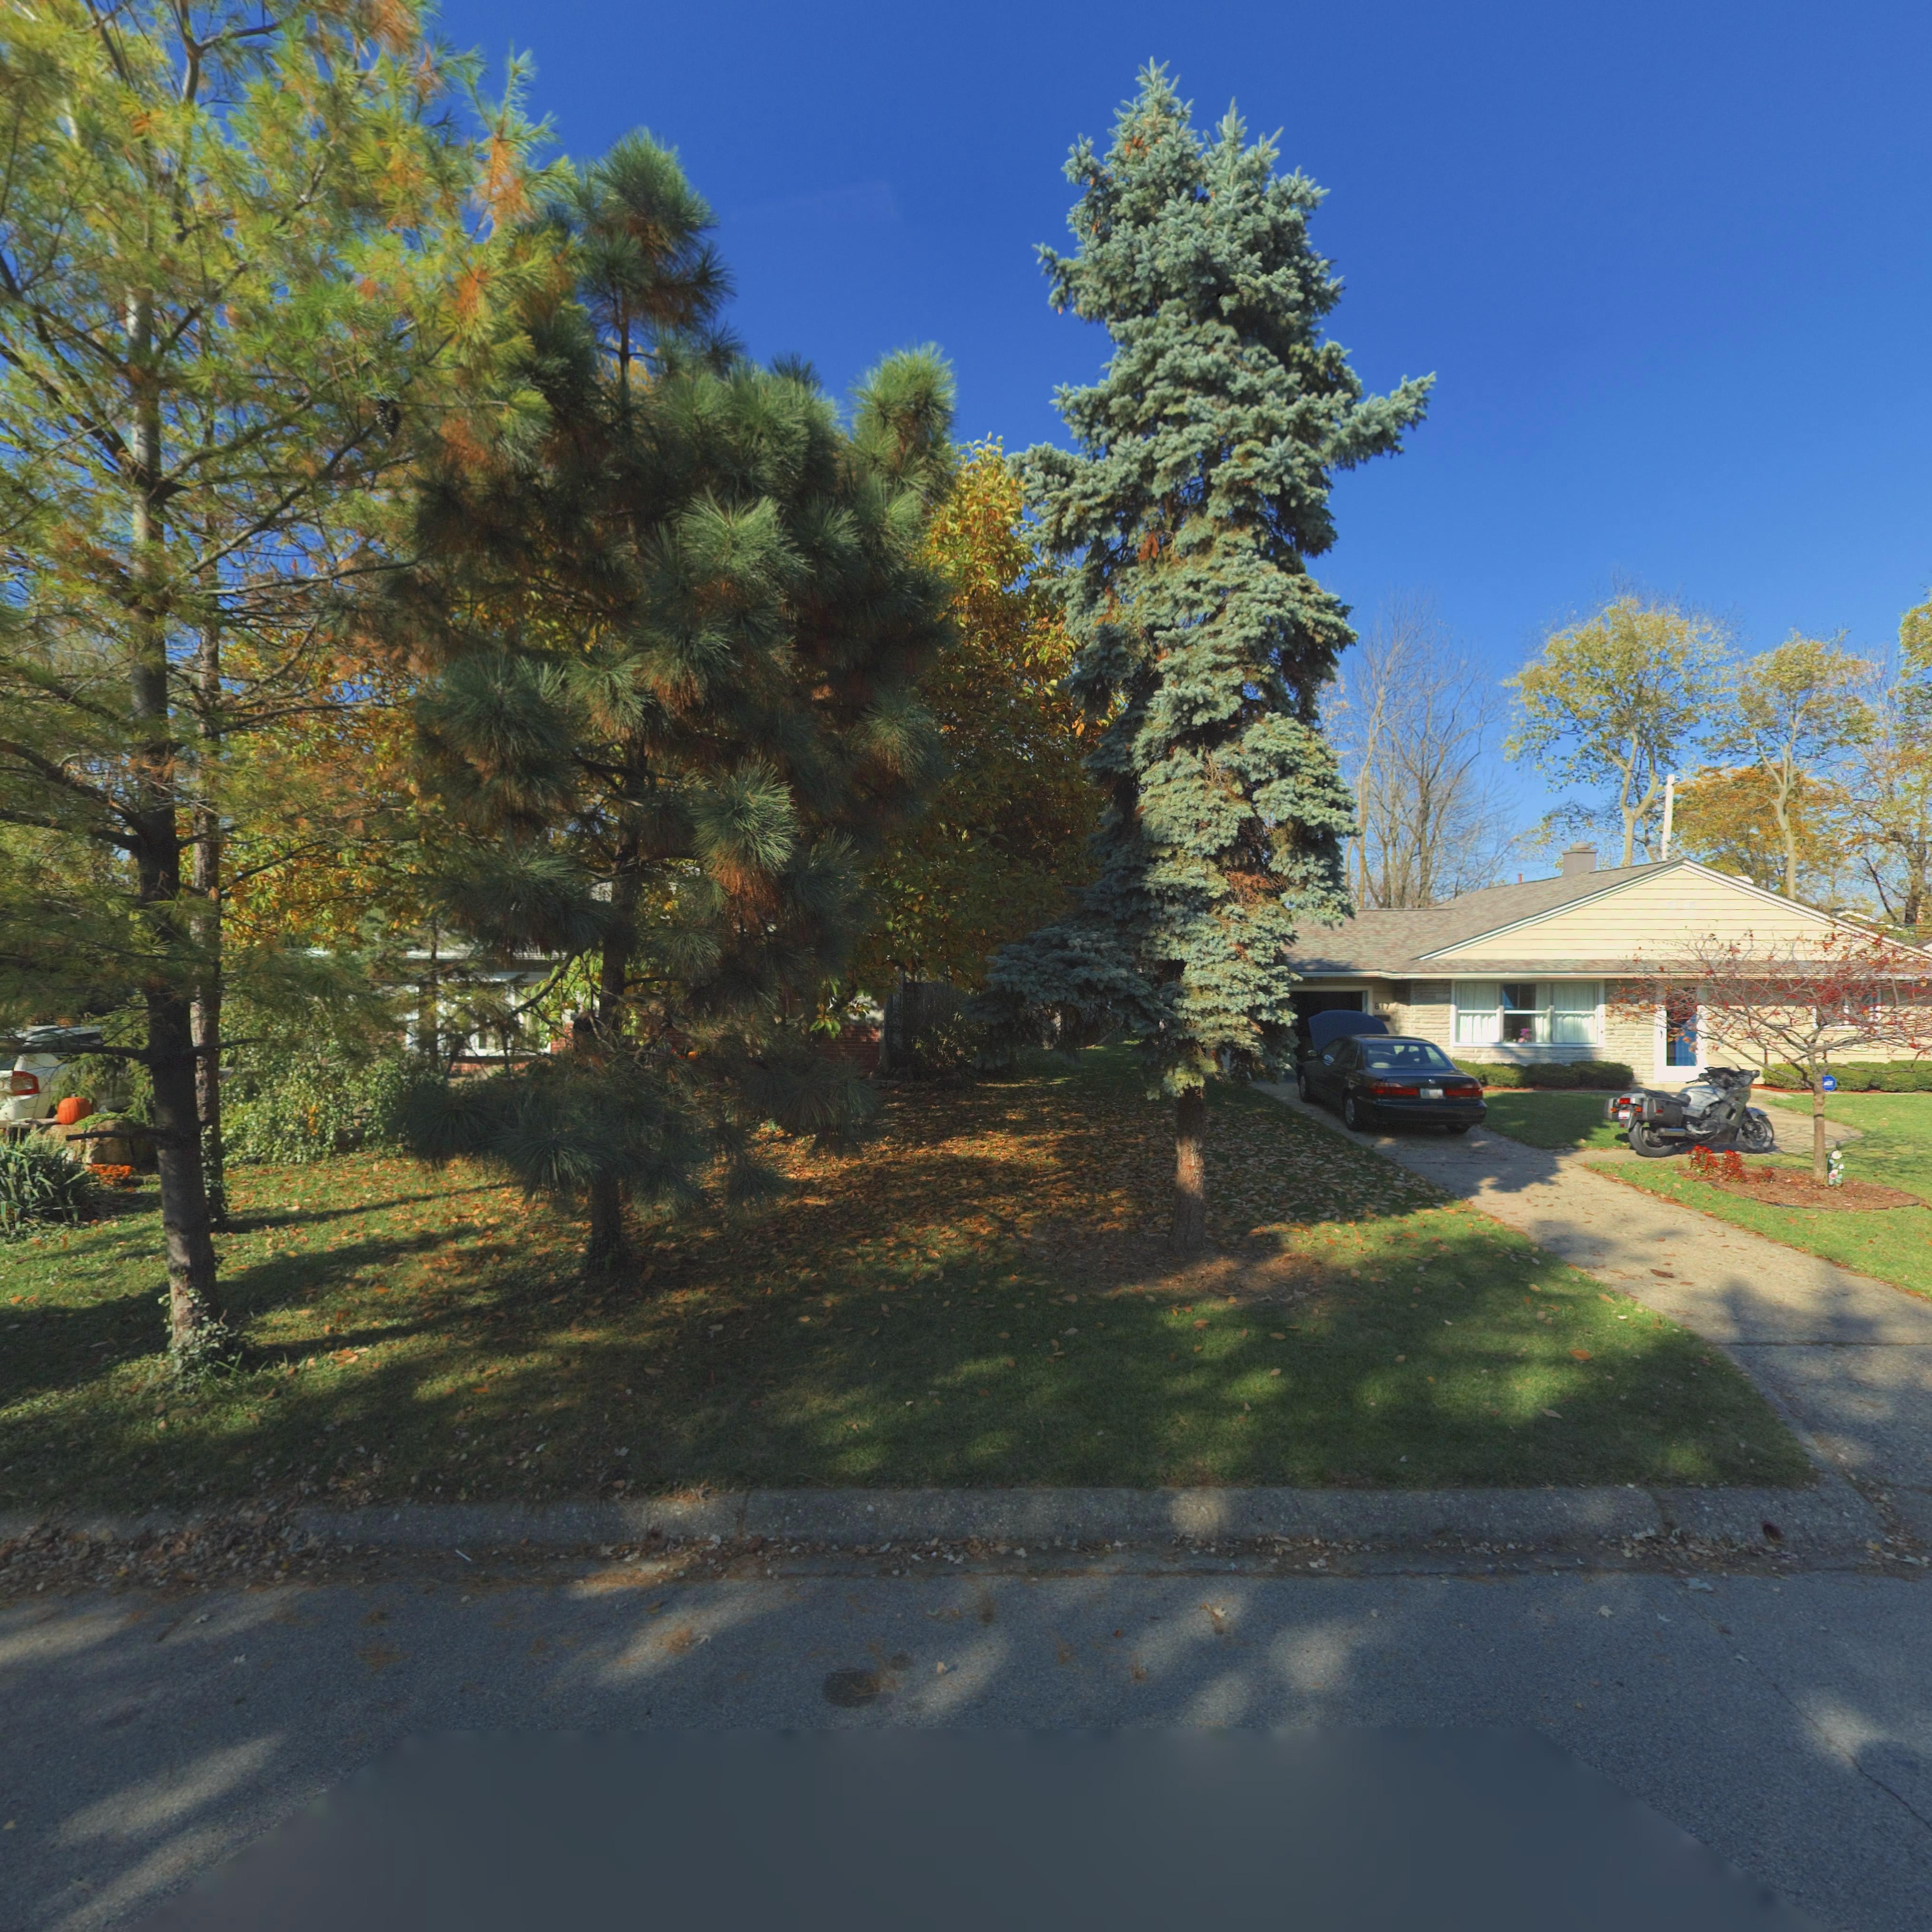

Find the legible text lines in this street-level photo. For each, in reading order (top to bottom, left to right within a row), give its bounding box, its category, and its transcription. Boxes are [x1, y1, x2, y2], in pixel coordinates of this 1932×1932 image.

[1374, 1002, 1390, 1010] StreetNumber: 817
[1823, 1081, 1834, 1086] None: ADT